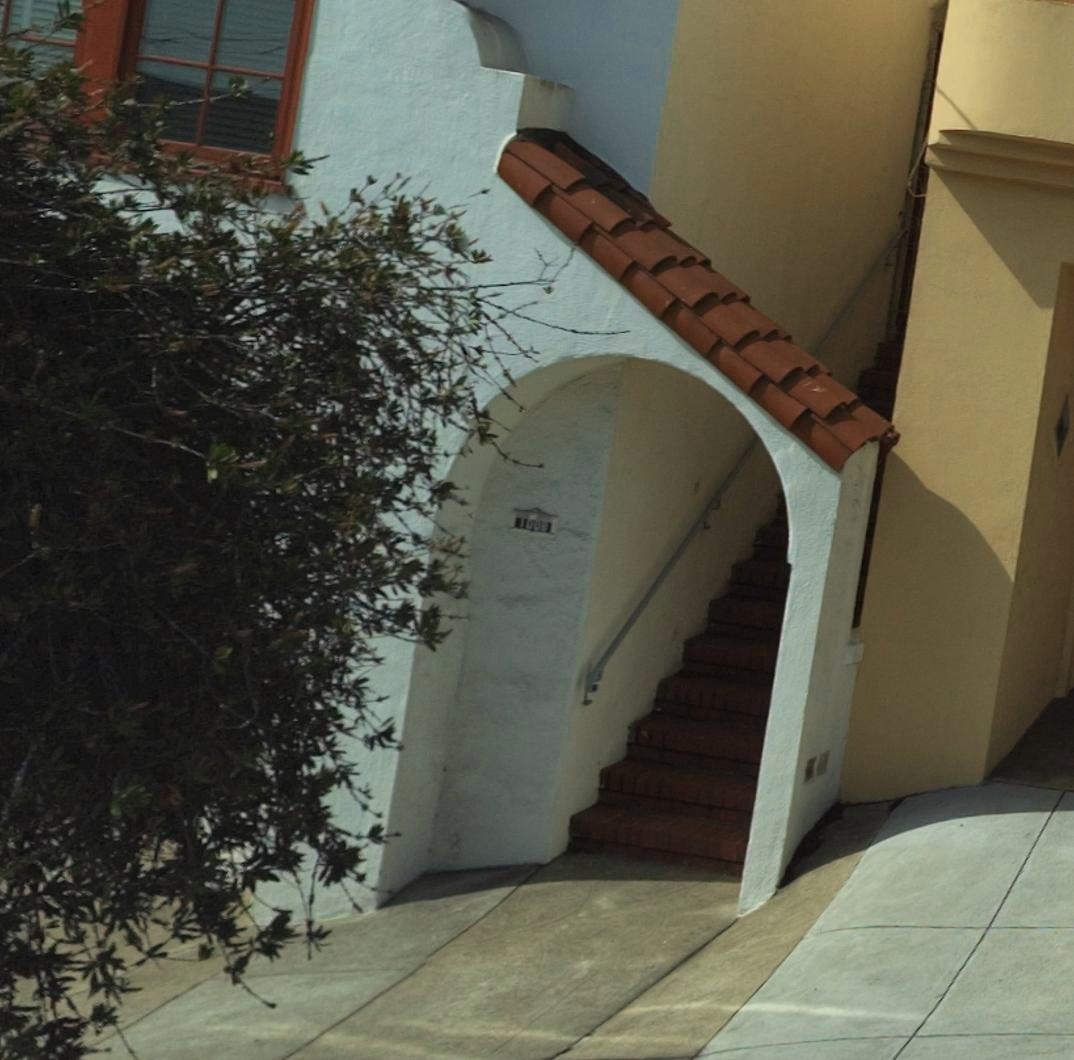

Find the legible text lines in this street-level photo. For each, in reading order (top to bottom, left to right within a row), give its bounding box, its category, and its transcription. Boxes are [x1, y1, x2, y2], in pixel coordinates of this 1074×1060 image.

[515, 516, 551, 533] StreetNumber: 100*